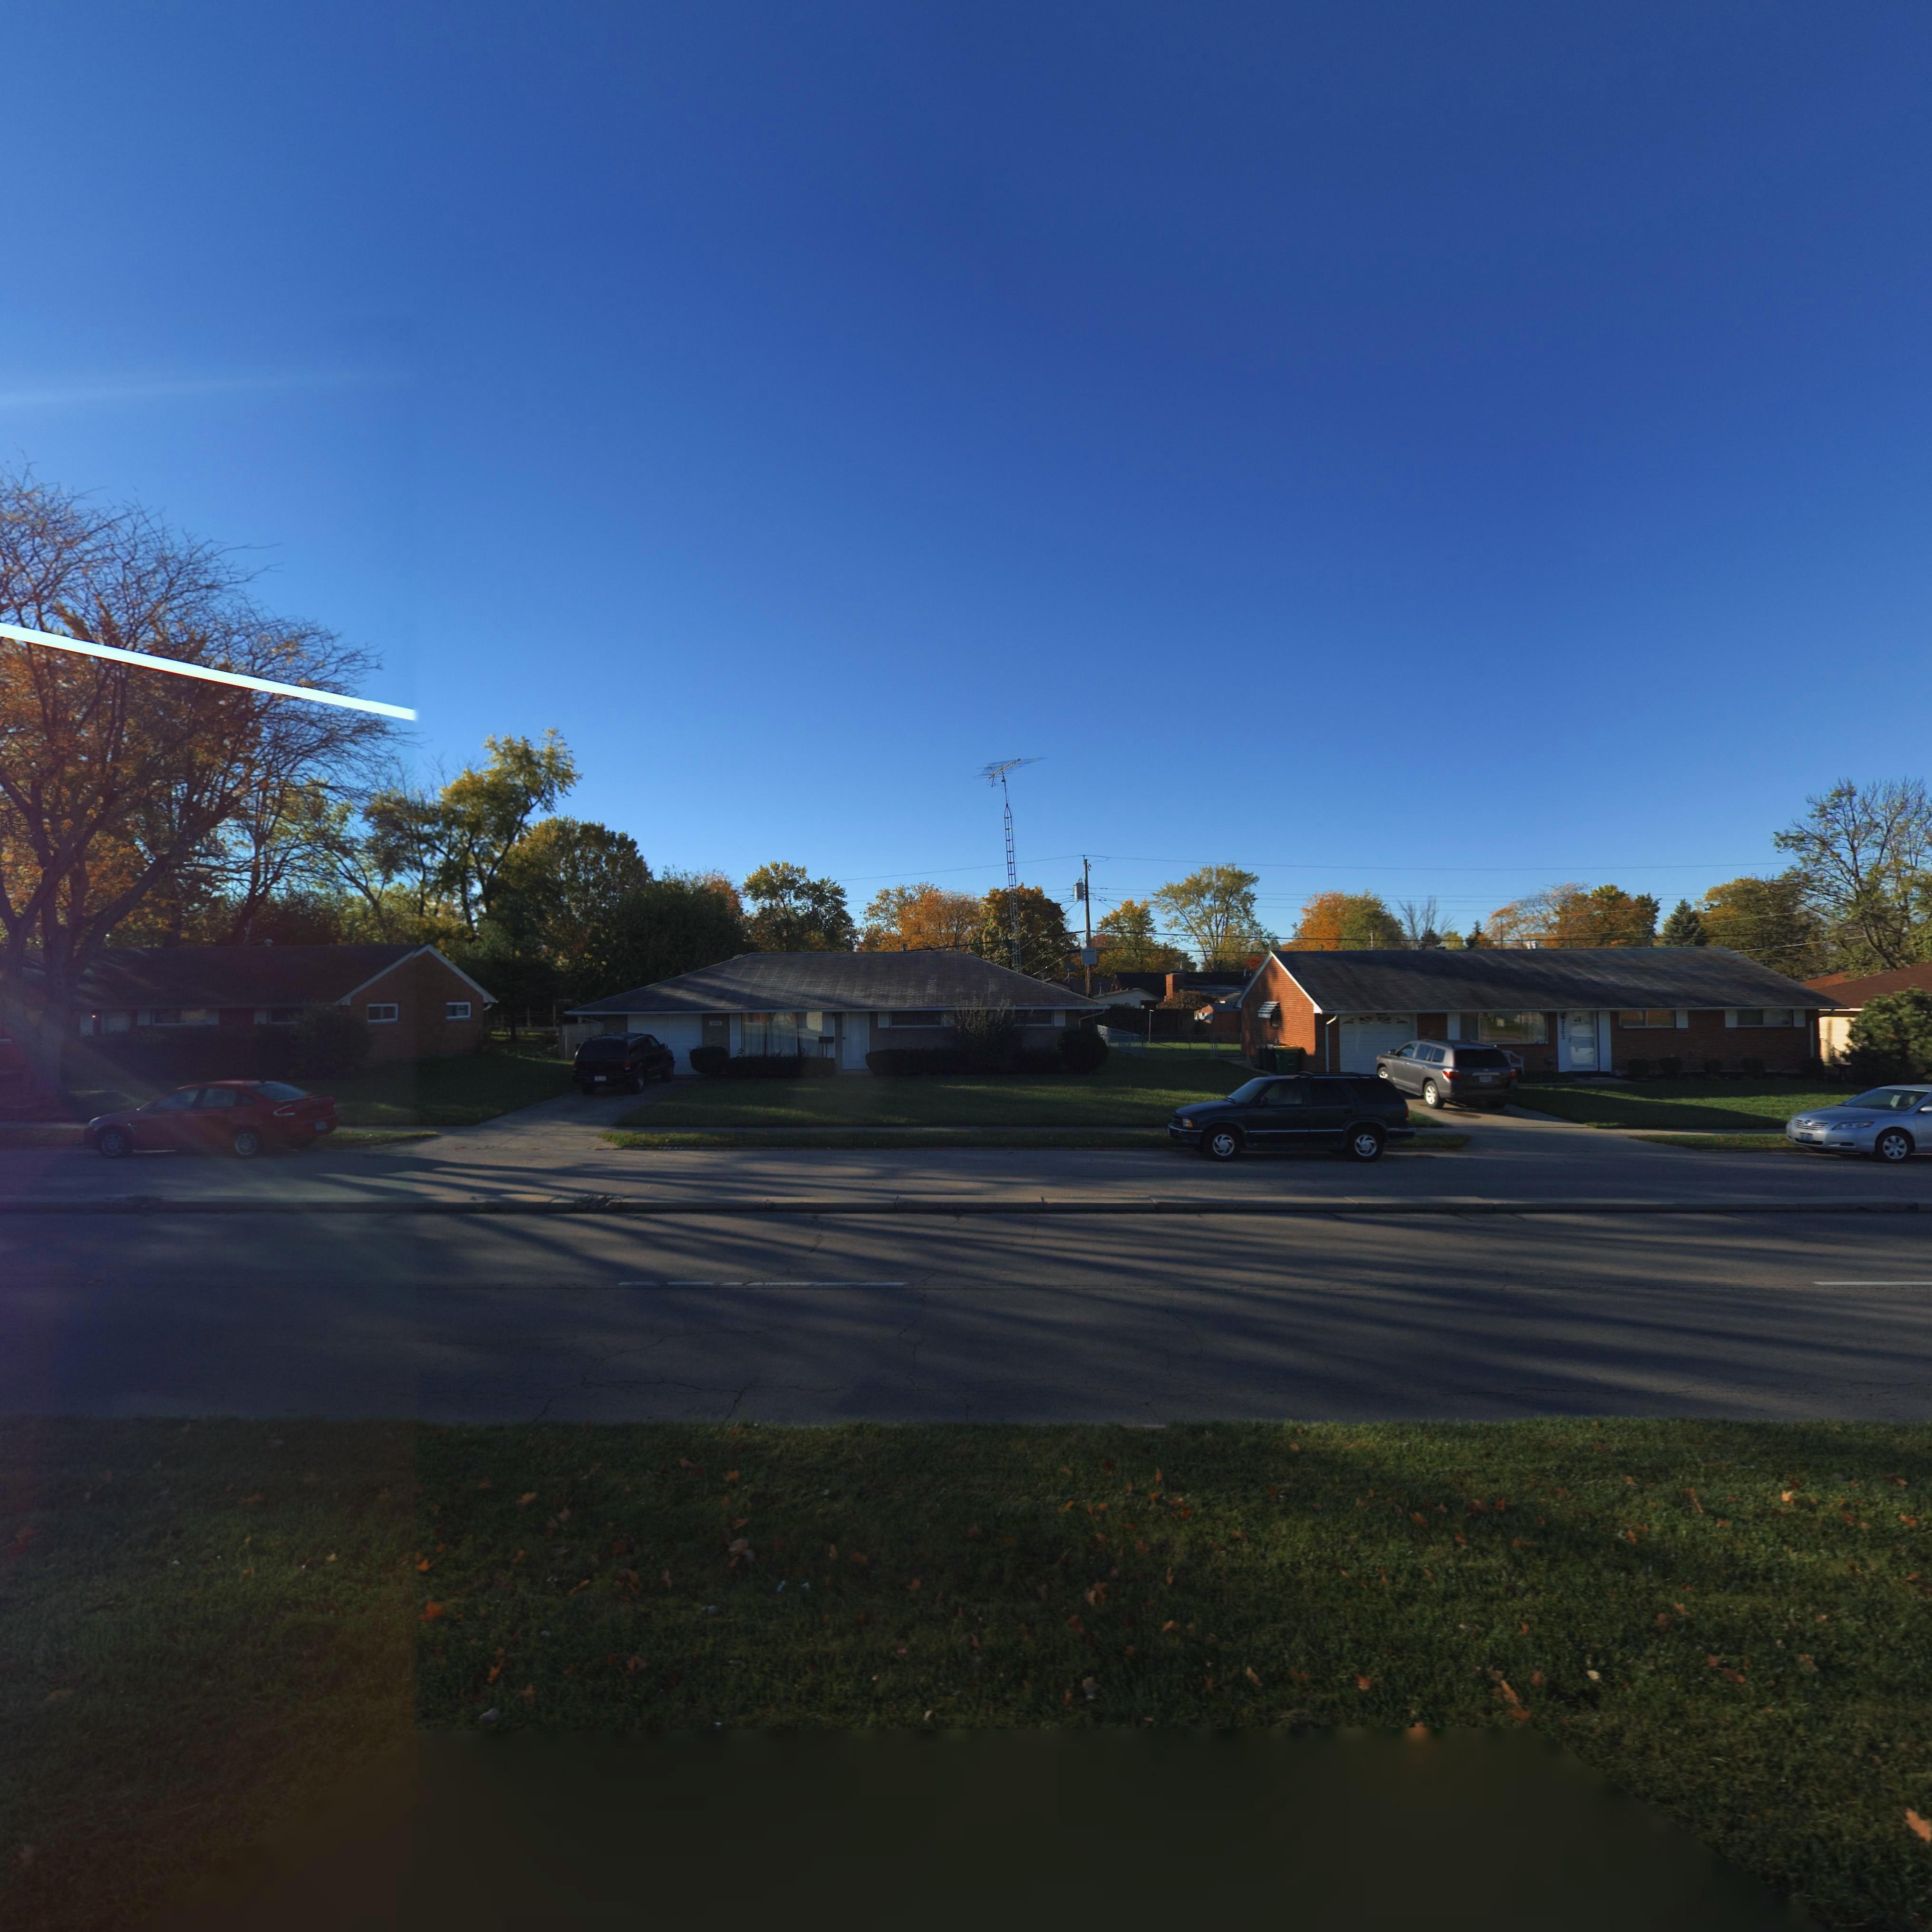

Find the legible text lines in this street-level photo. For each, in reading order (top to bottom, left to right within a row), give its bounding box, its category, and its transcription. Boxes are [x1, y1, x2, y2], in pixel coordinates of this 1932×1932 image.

[1560, 1020, 1565, 1040] StreetNumber: 2202